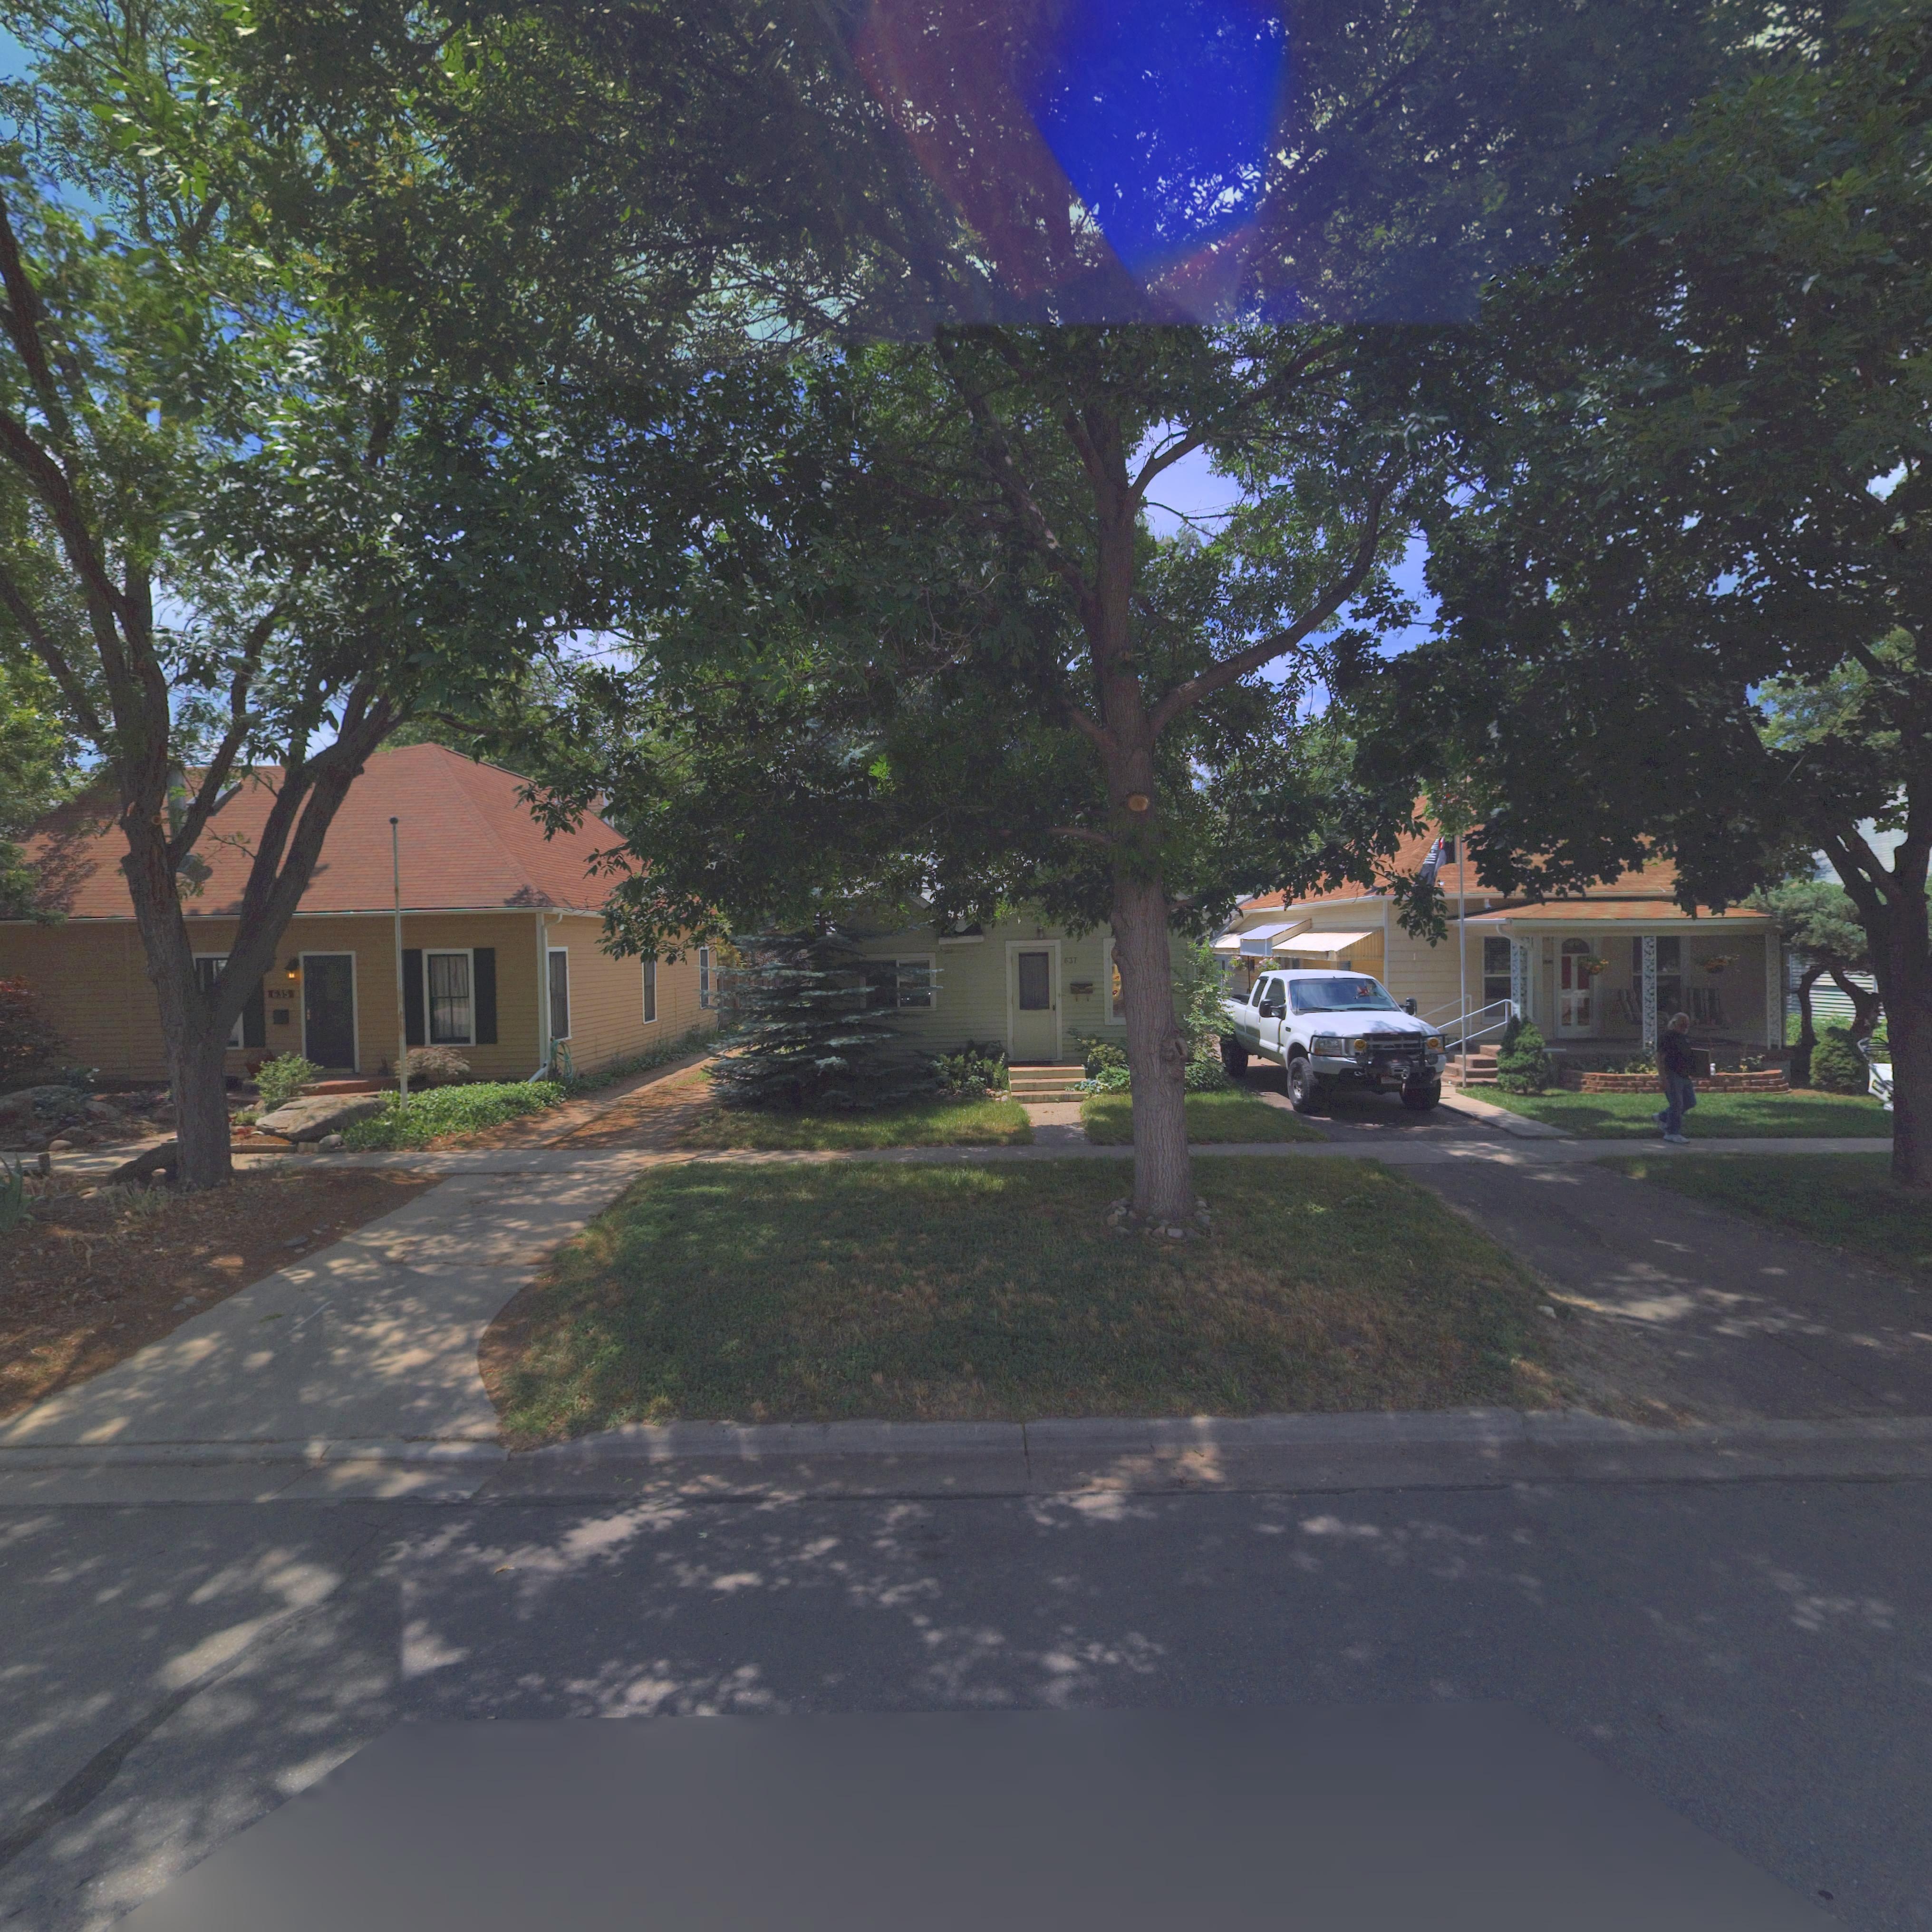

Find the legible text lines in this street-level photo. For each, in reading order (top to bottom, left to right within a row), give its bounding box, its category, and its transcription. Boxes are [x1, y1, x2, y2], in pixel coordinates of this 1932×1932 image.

[1063, 956, 1077, 964] StreetNumber: 637
[271, 989, 290, 999] StreetNumber: 635